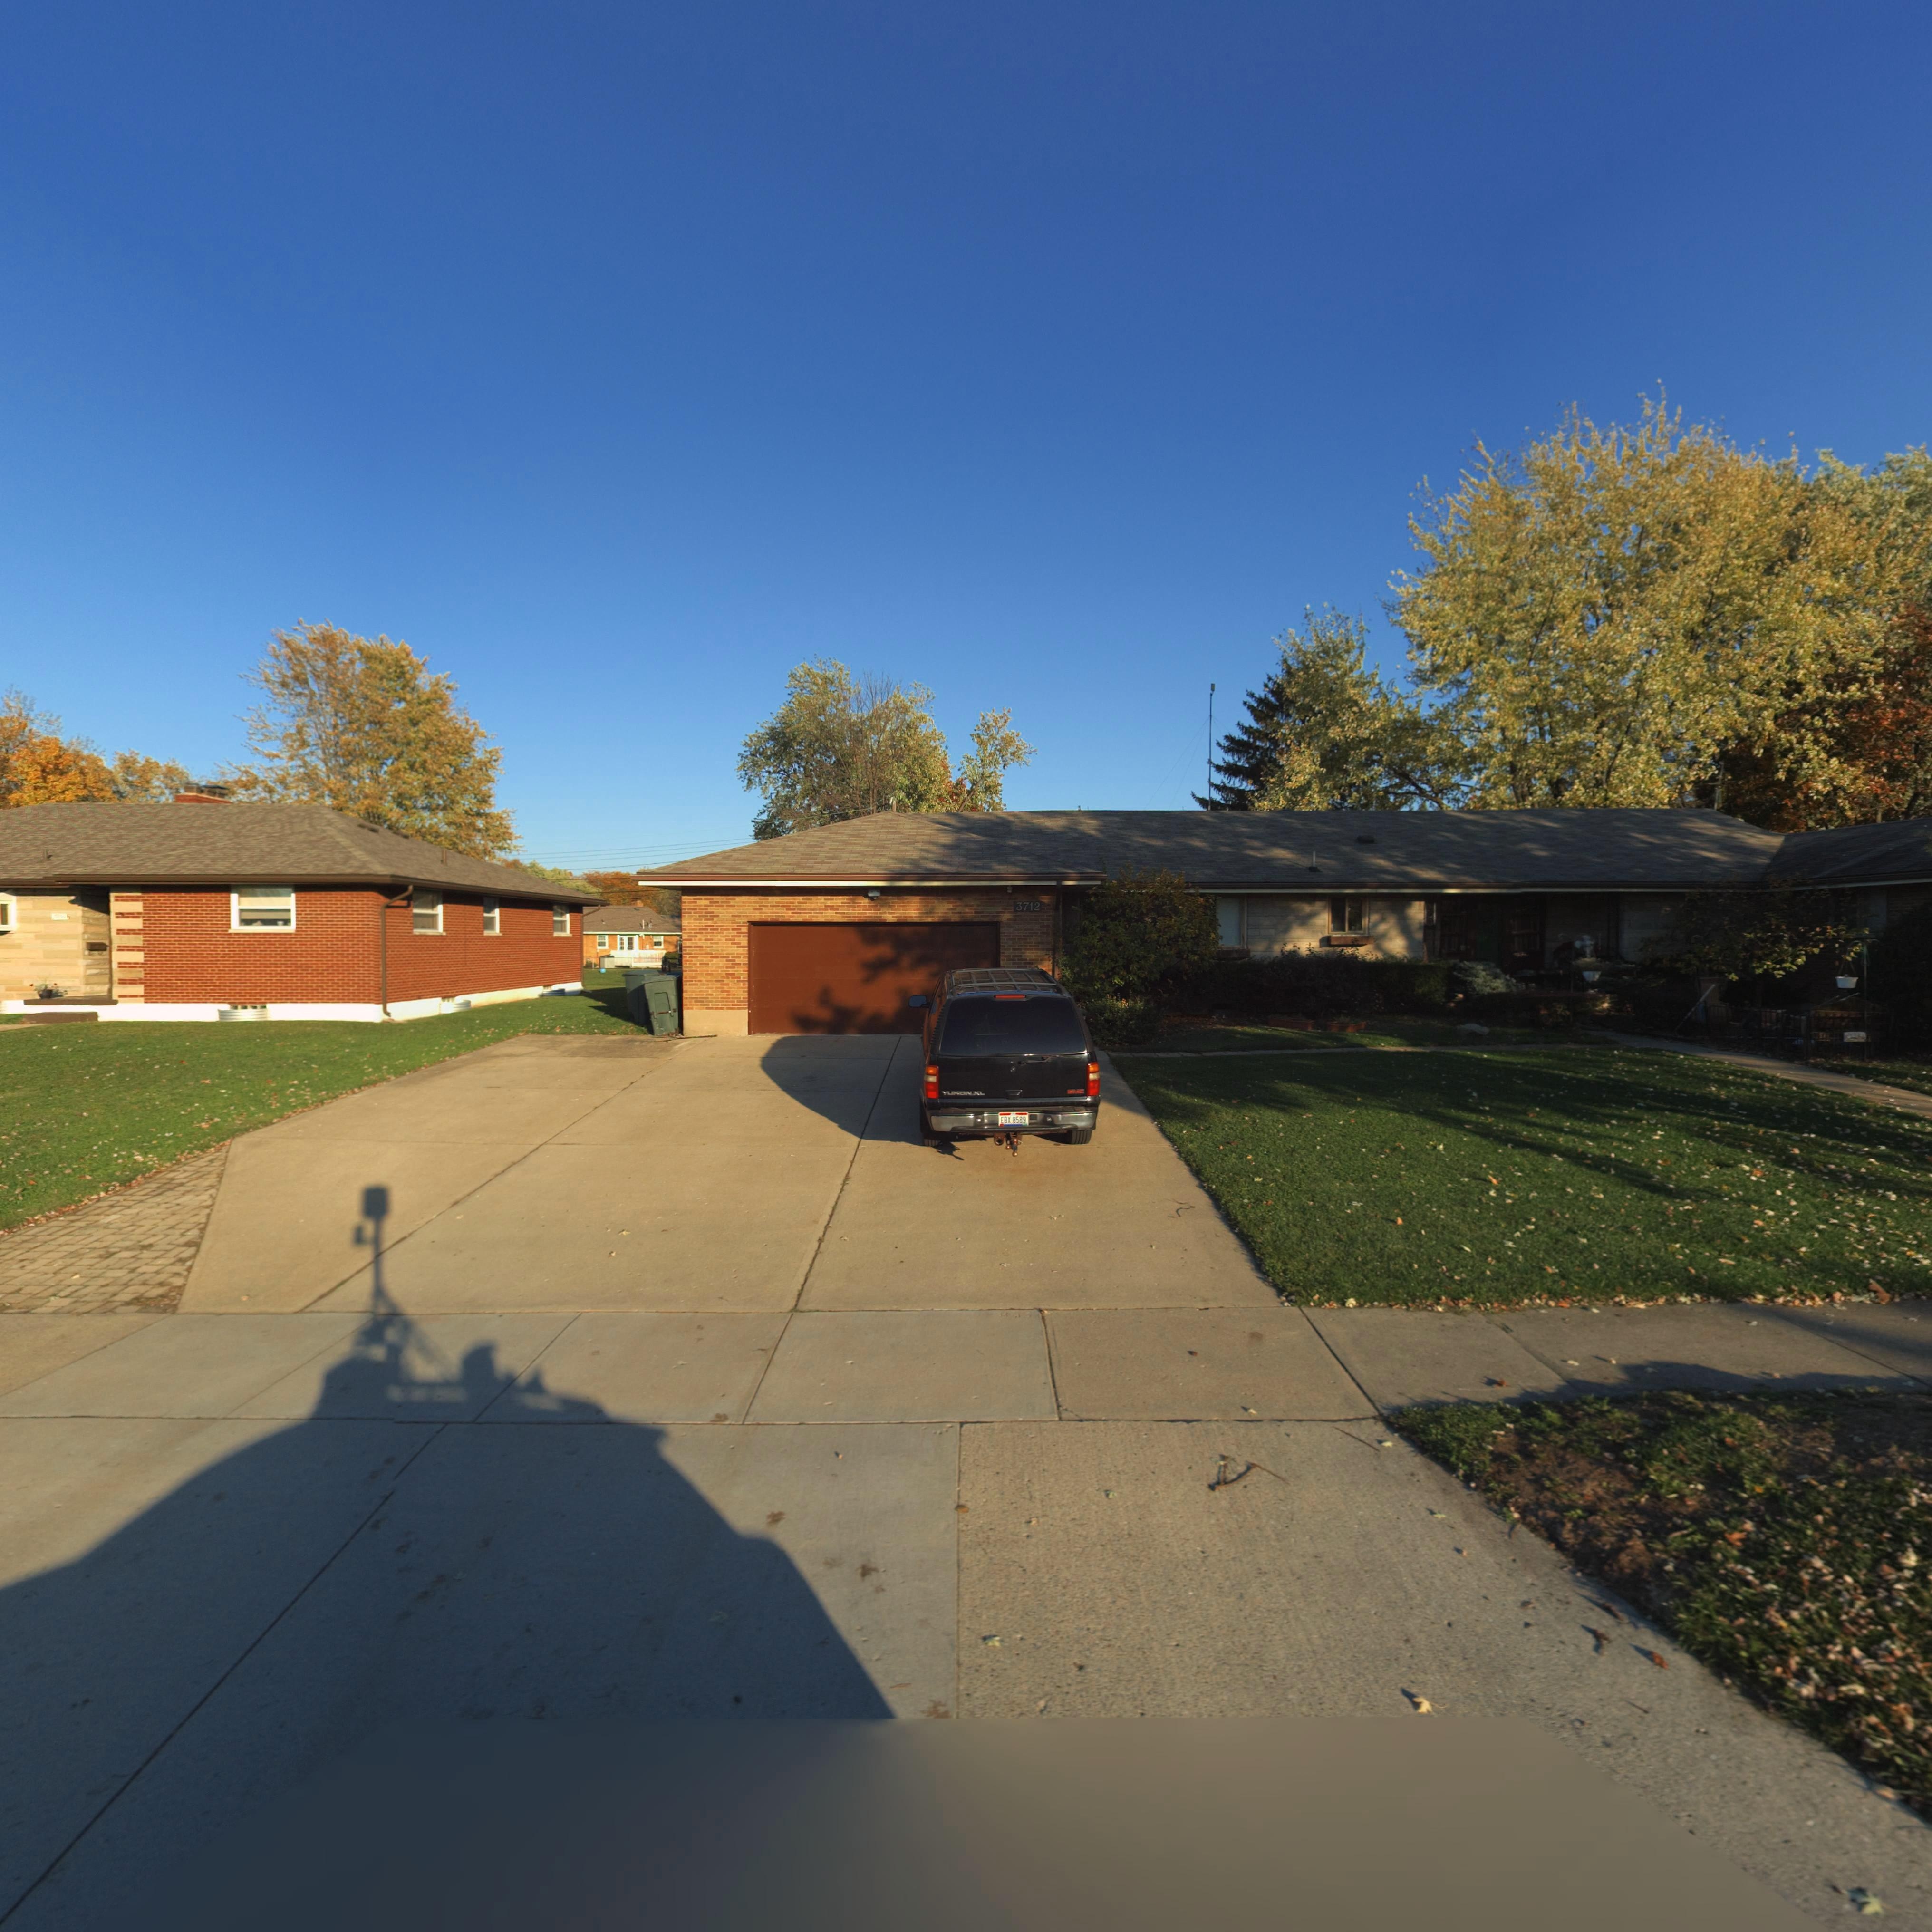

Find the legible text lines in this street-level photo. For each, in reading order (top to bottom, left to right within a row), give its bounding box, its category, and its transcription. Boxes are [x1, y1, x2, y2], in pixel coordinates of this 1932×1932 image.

[1015, 901, 1041, 911] StreetNumber: 3712